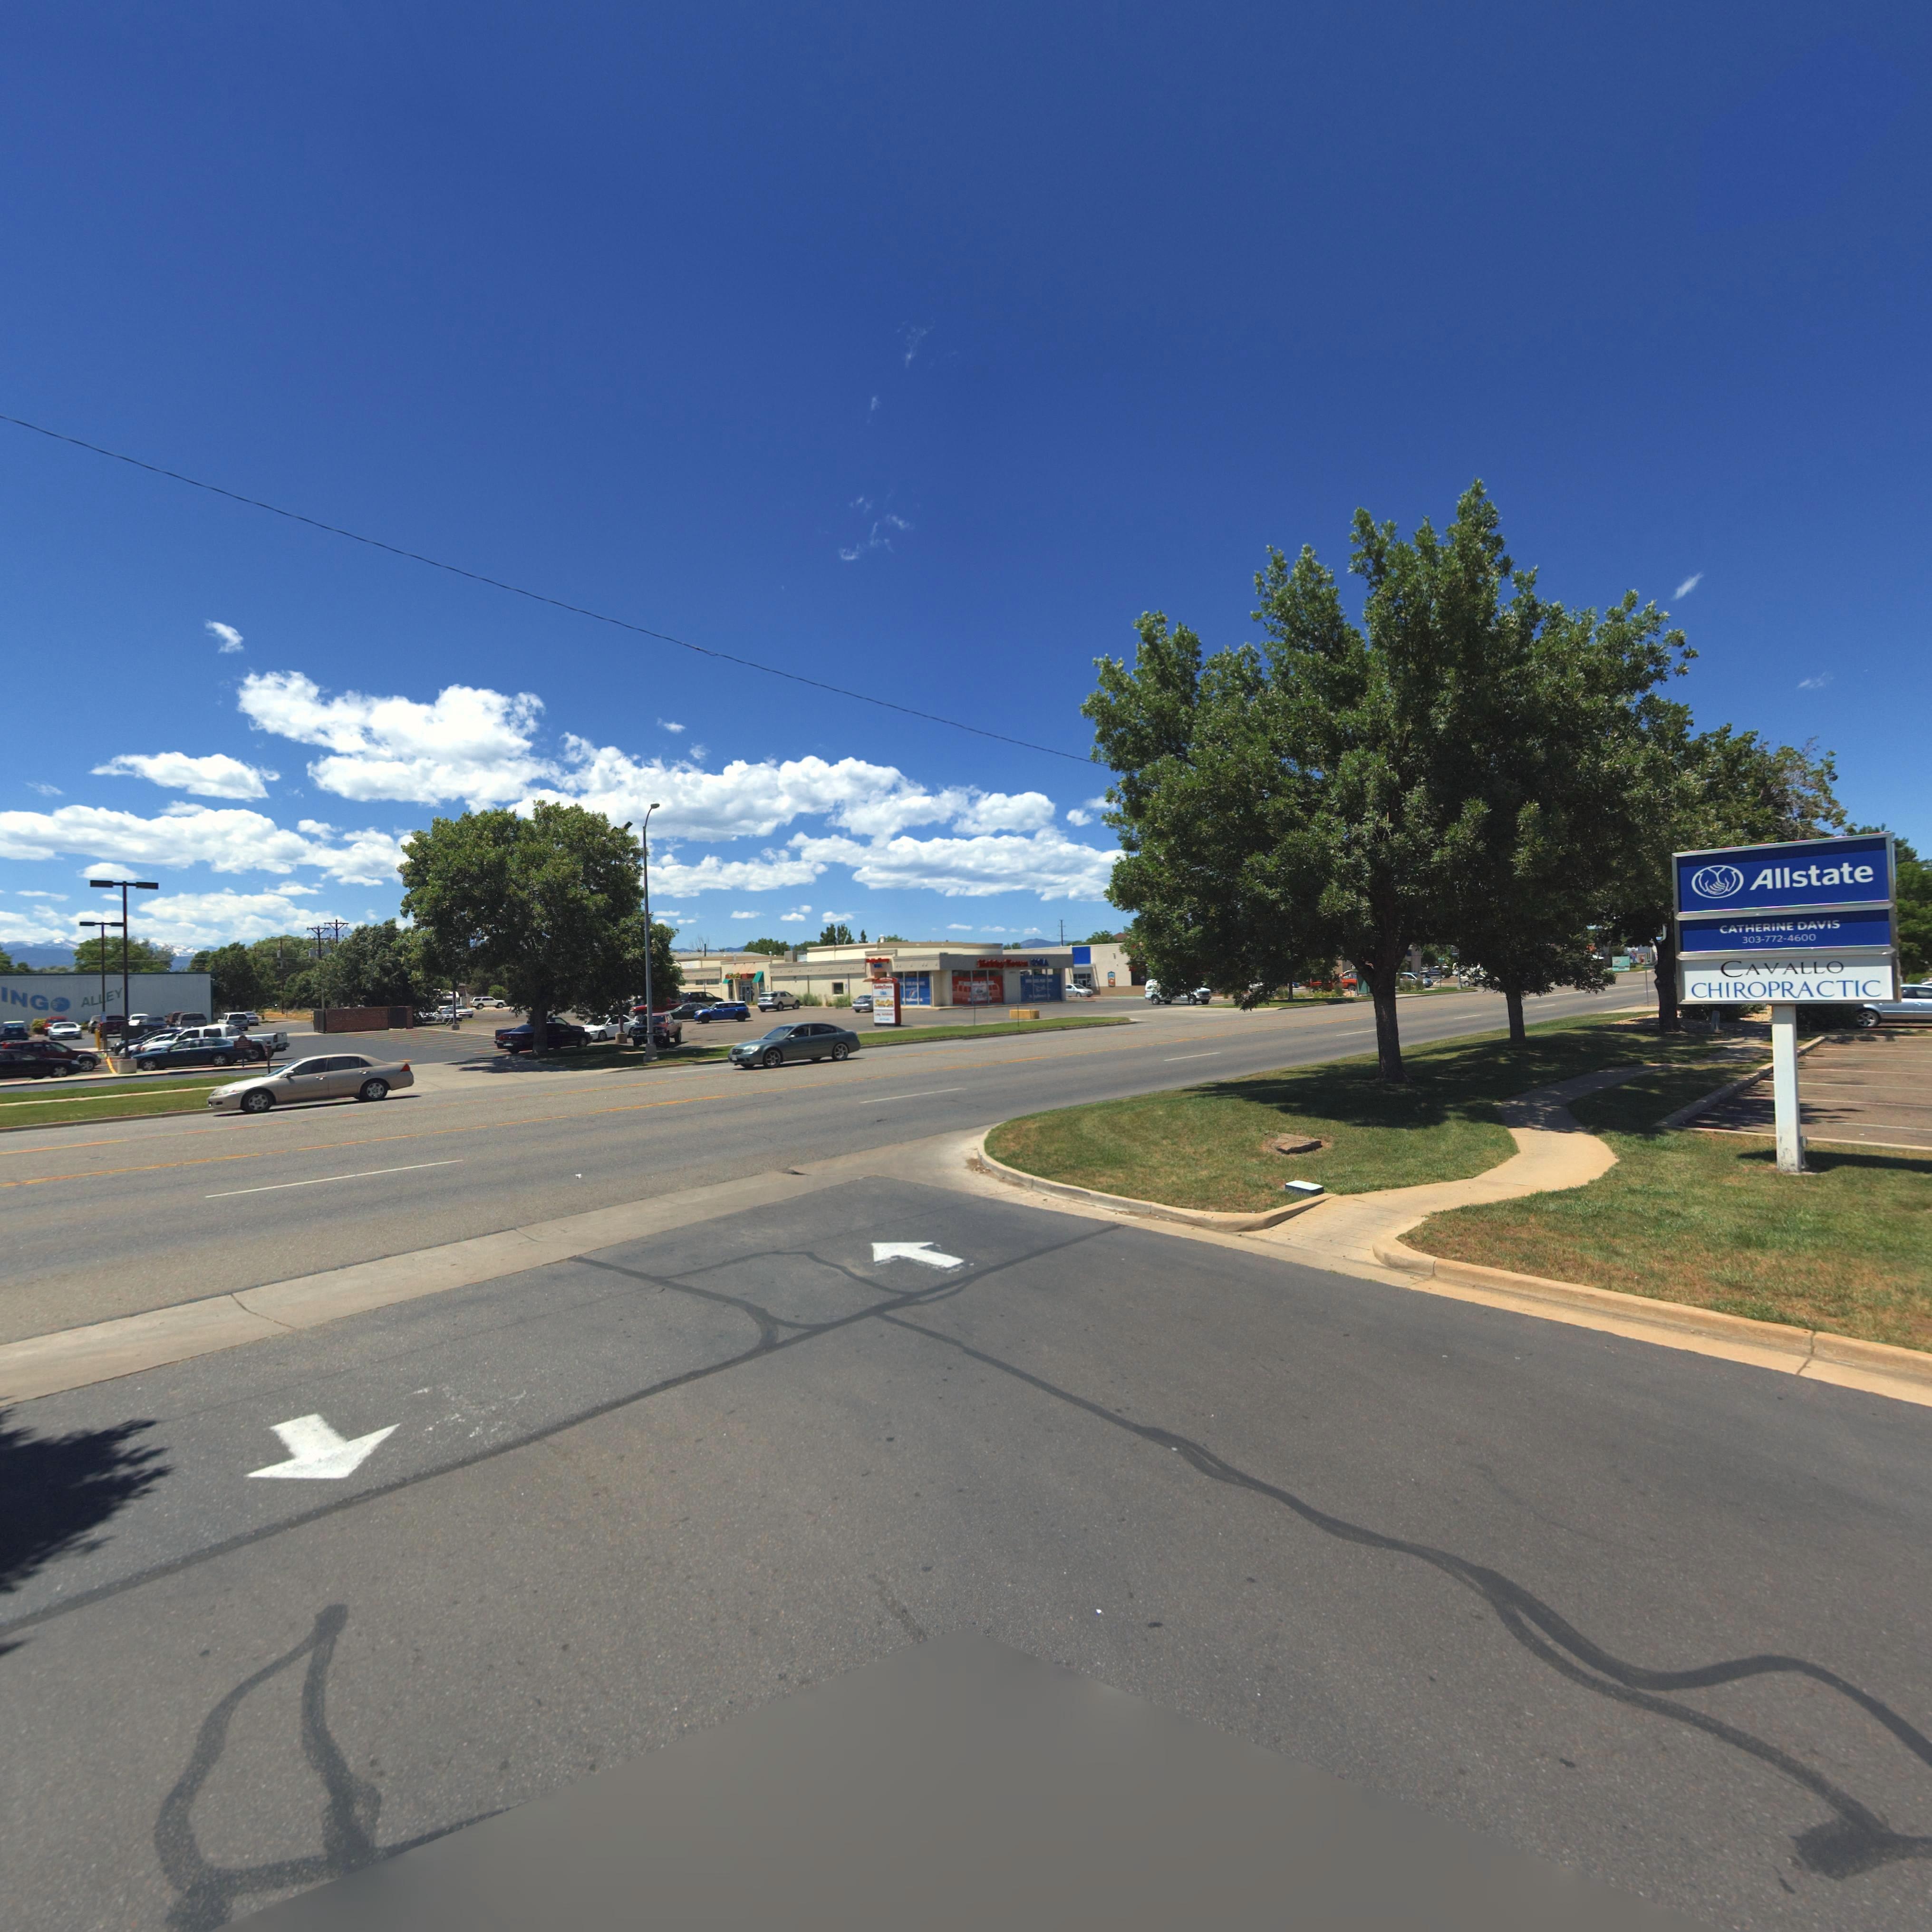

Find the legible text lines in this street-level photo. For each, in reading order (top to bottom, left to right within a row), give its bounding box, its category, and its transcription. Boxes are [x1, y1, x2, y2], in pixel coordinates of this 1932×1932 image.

[1748, 861, 1874, 891] BusinessName: Allstate
[1719, 918, 1840, 934] BusinessName: CATHERINE DAVIS
[866, 957, 889, 964] BusinessName: H********
[873, 963, 882, 968] BusinessName: U*A
[976, 957, 1050, 969] BusinessName: Hobby Town USA
[1720, 959, 1845, 978] BusinessName: CAVALLO
[728, 972, 741, 980] BusinessName: S*** C**
[1, 986, 71, 1012] BusinessName: INGO
[80, 987, 123, 1008] BusinessName: ALLEY
[879, 991, 887, 995] BusinessName: U*A
[874, 998, 894, 1007] BusinessName: S*** C**
[901, 997, 924, 1002] BusinessName: ********* **A
[967, 995, 993, 1002] BusinessName: h
[1690, 979, 1882, 999] BusinessName: CHIROPRACTIC
[874, 1012, 893, 1017] BusinessName: L**g A*******